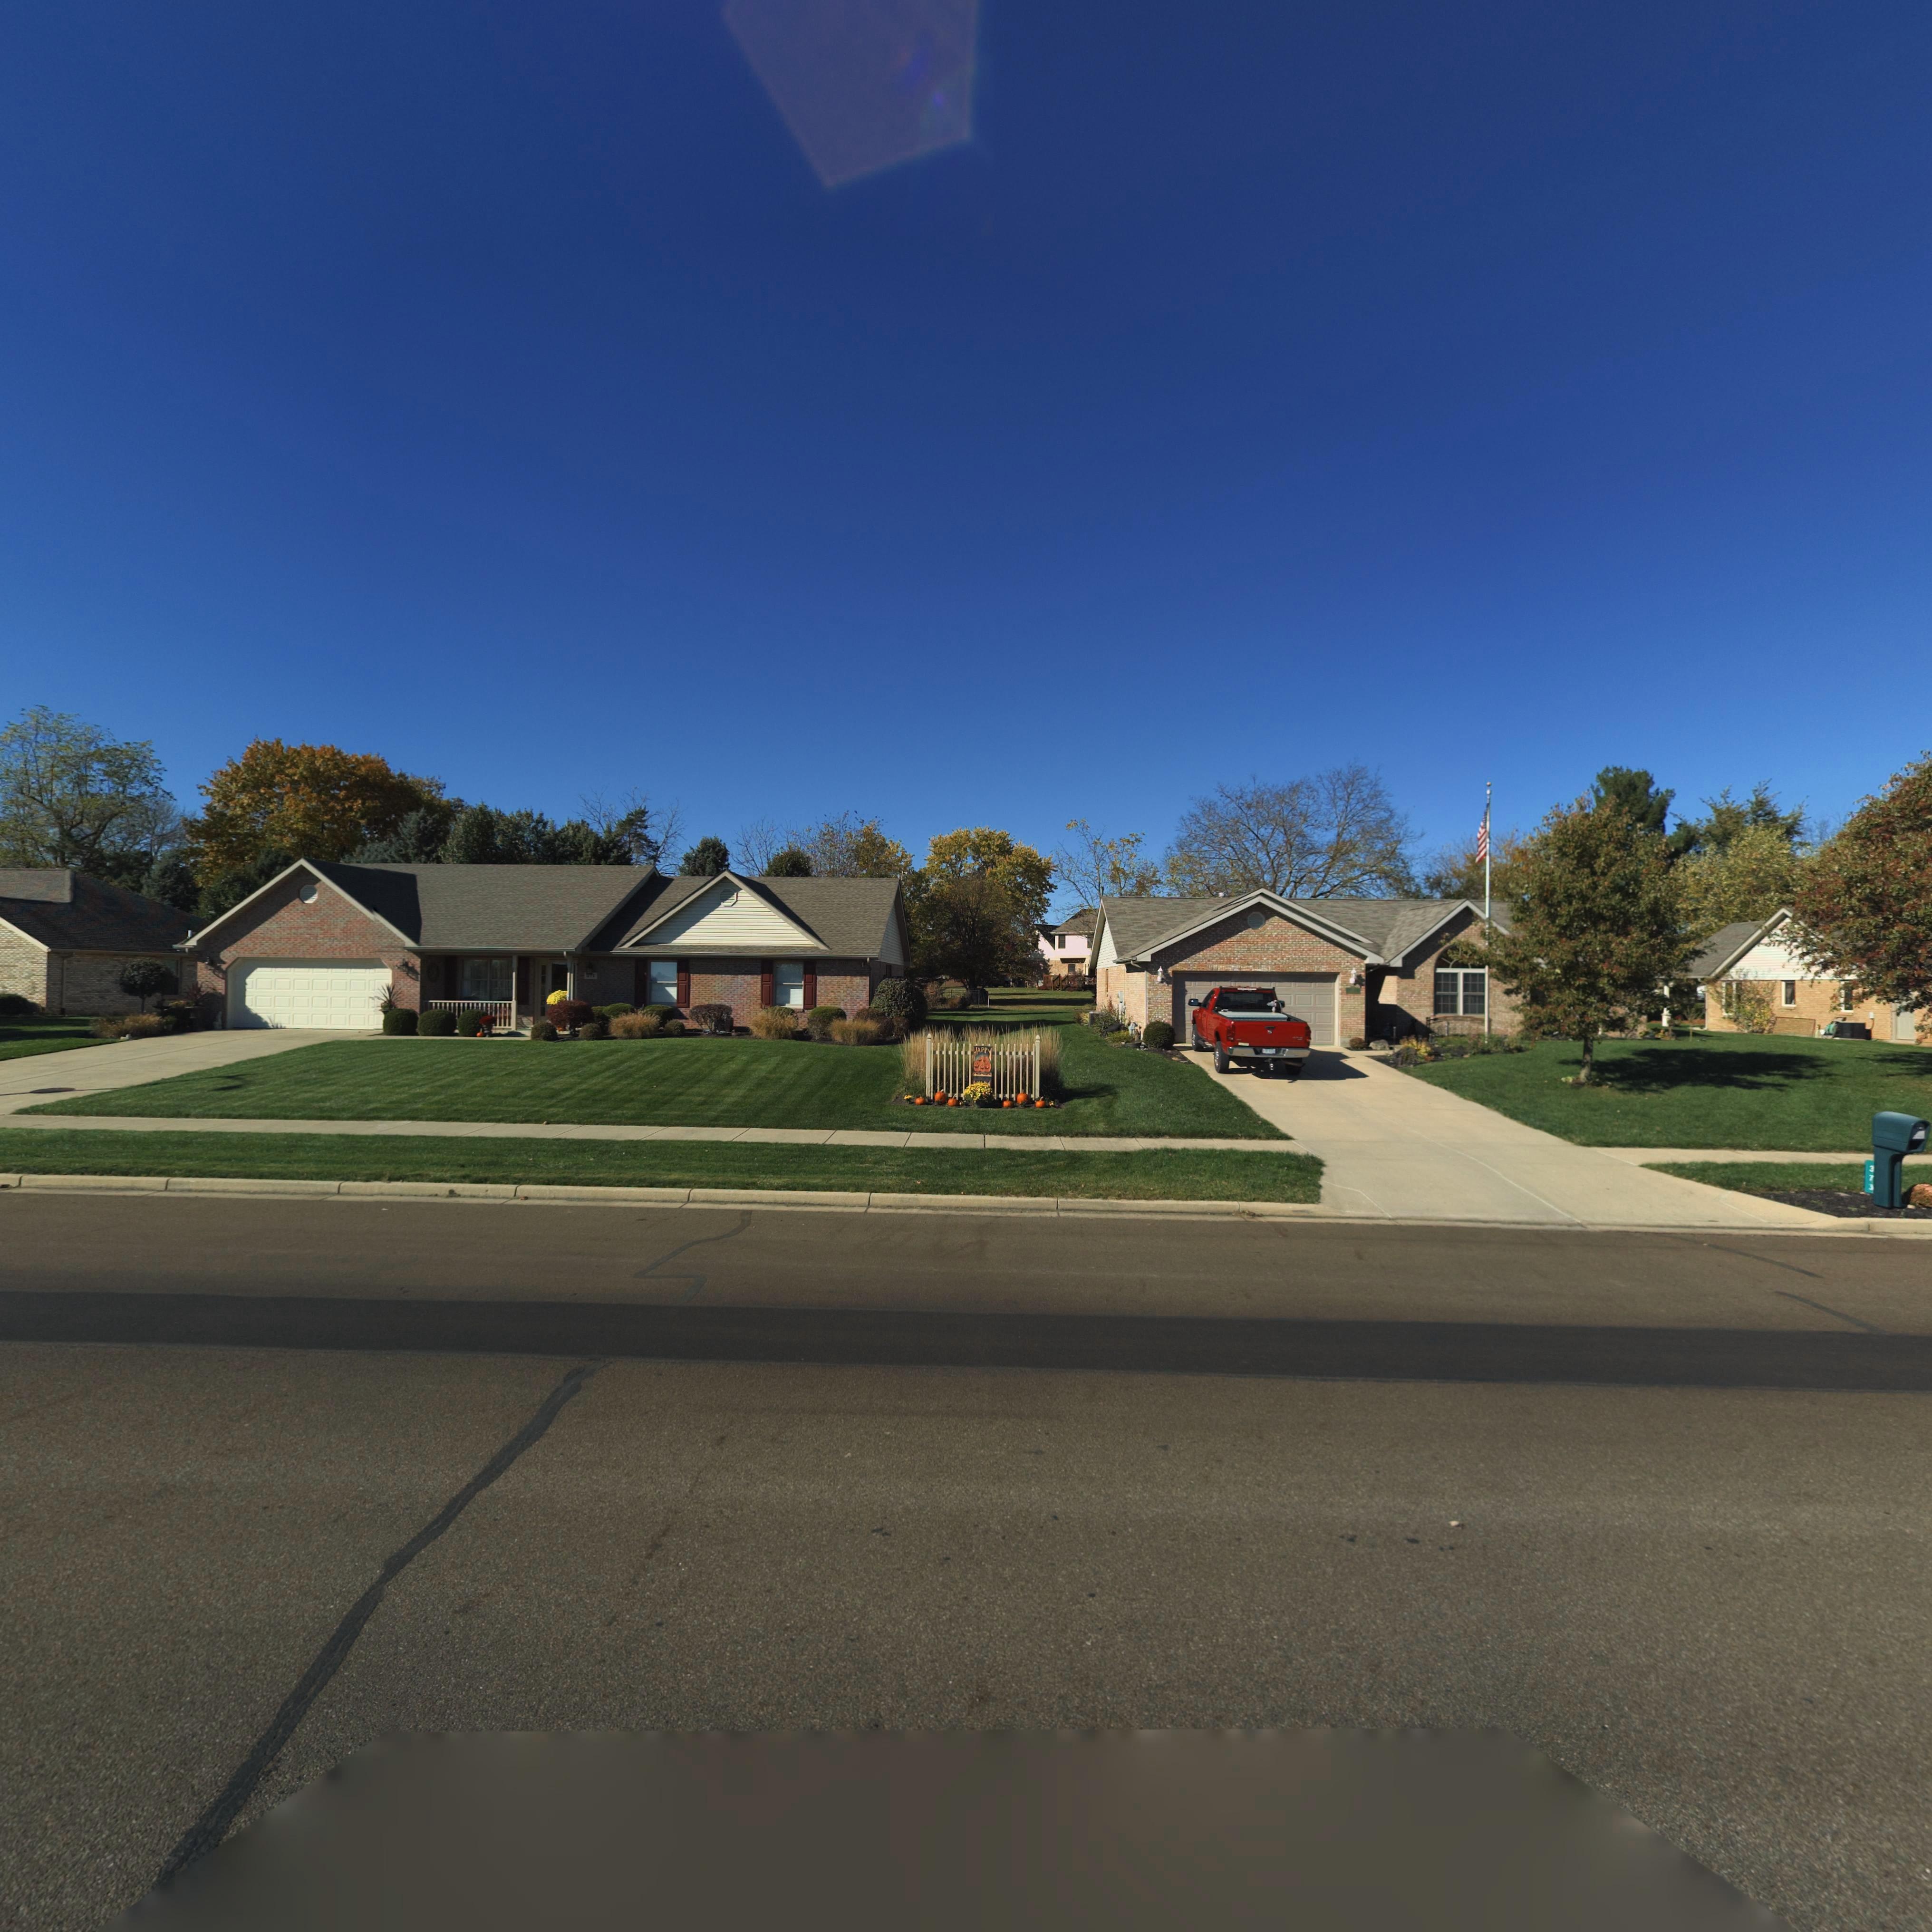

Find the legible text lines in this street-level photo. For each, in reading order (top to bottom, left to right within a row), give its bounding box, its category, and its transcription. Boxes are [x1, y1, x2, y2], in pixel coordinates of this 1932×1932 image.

[585, 973, 595, 978] StreetNumber: *71
[1868, 1164, 1875, 1191] StreetNumber: 373